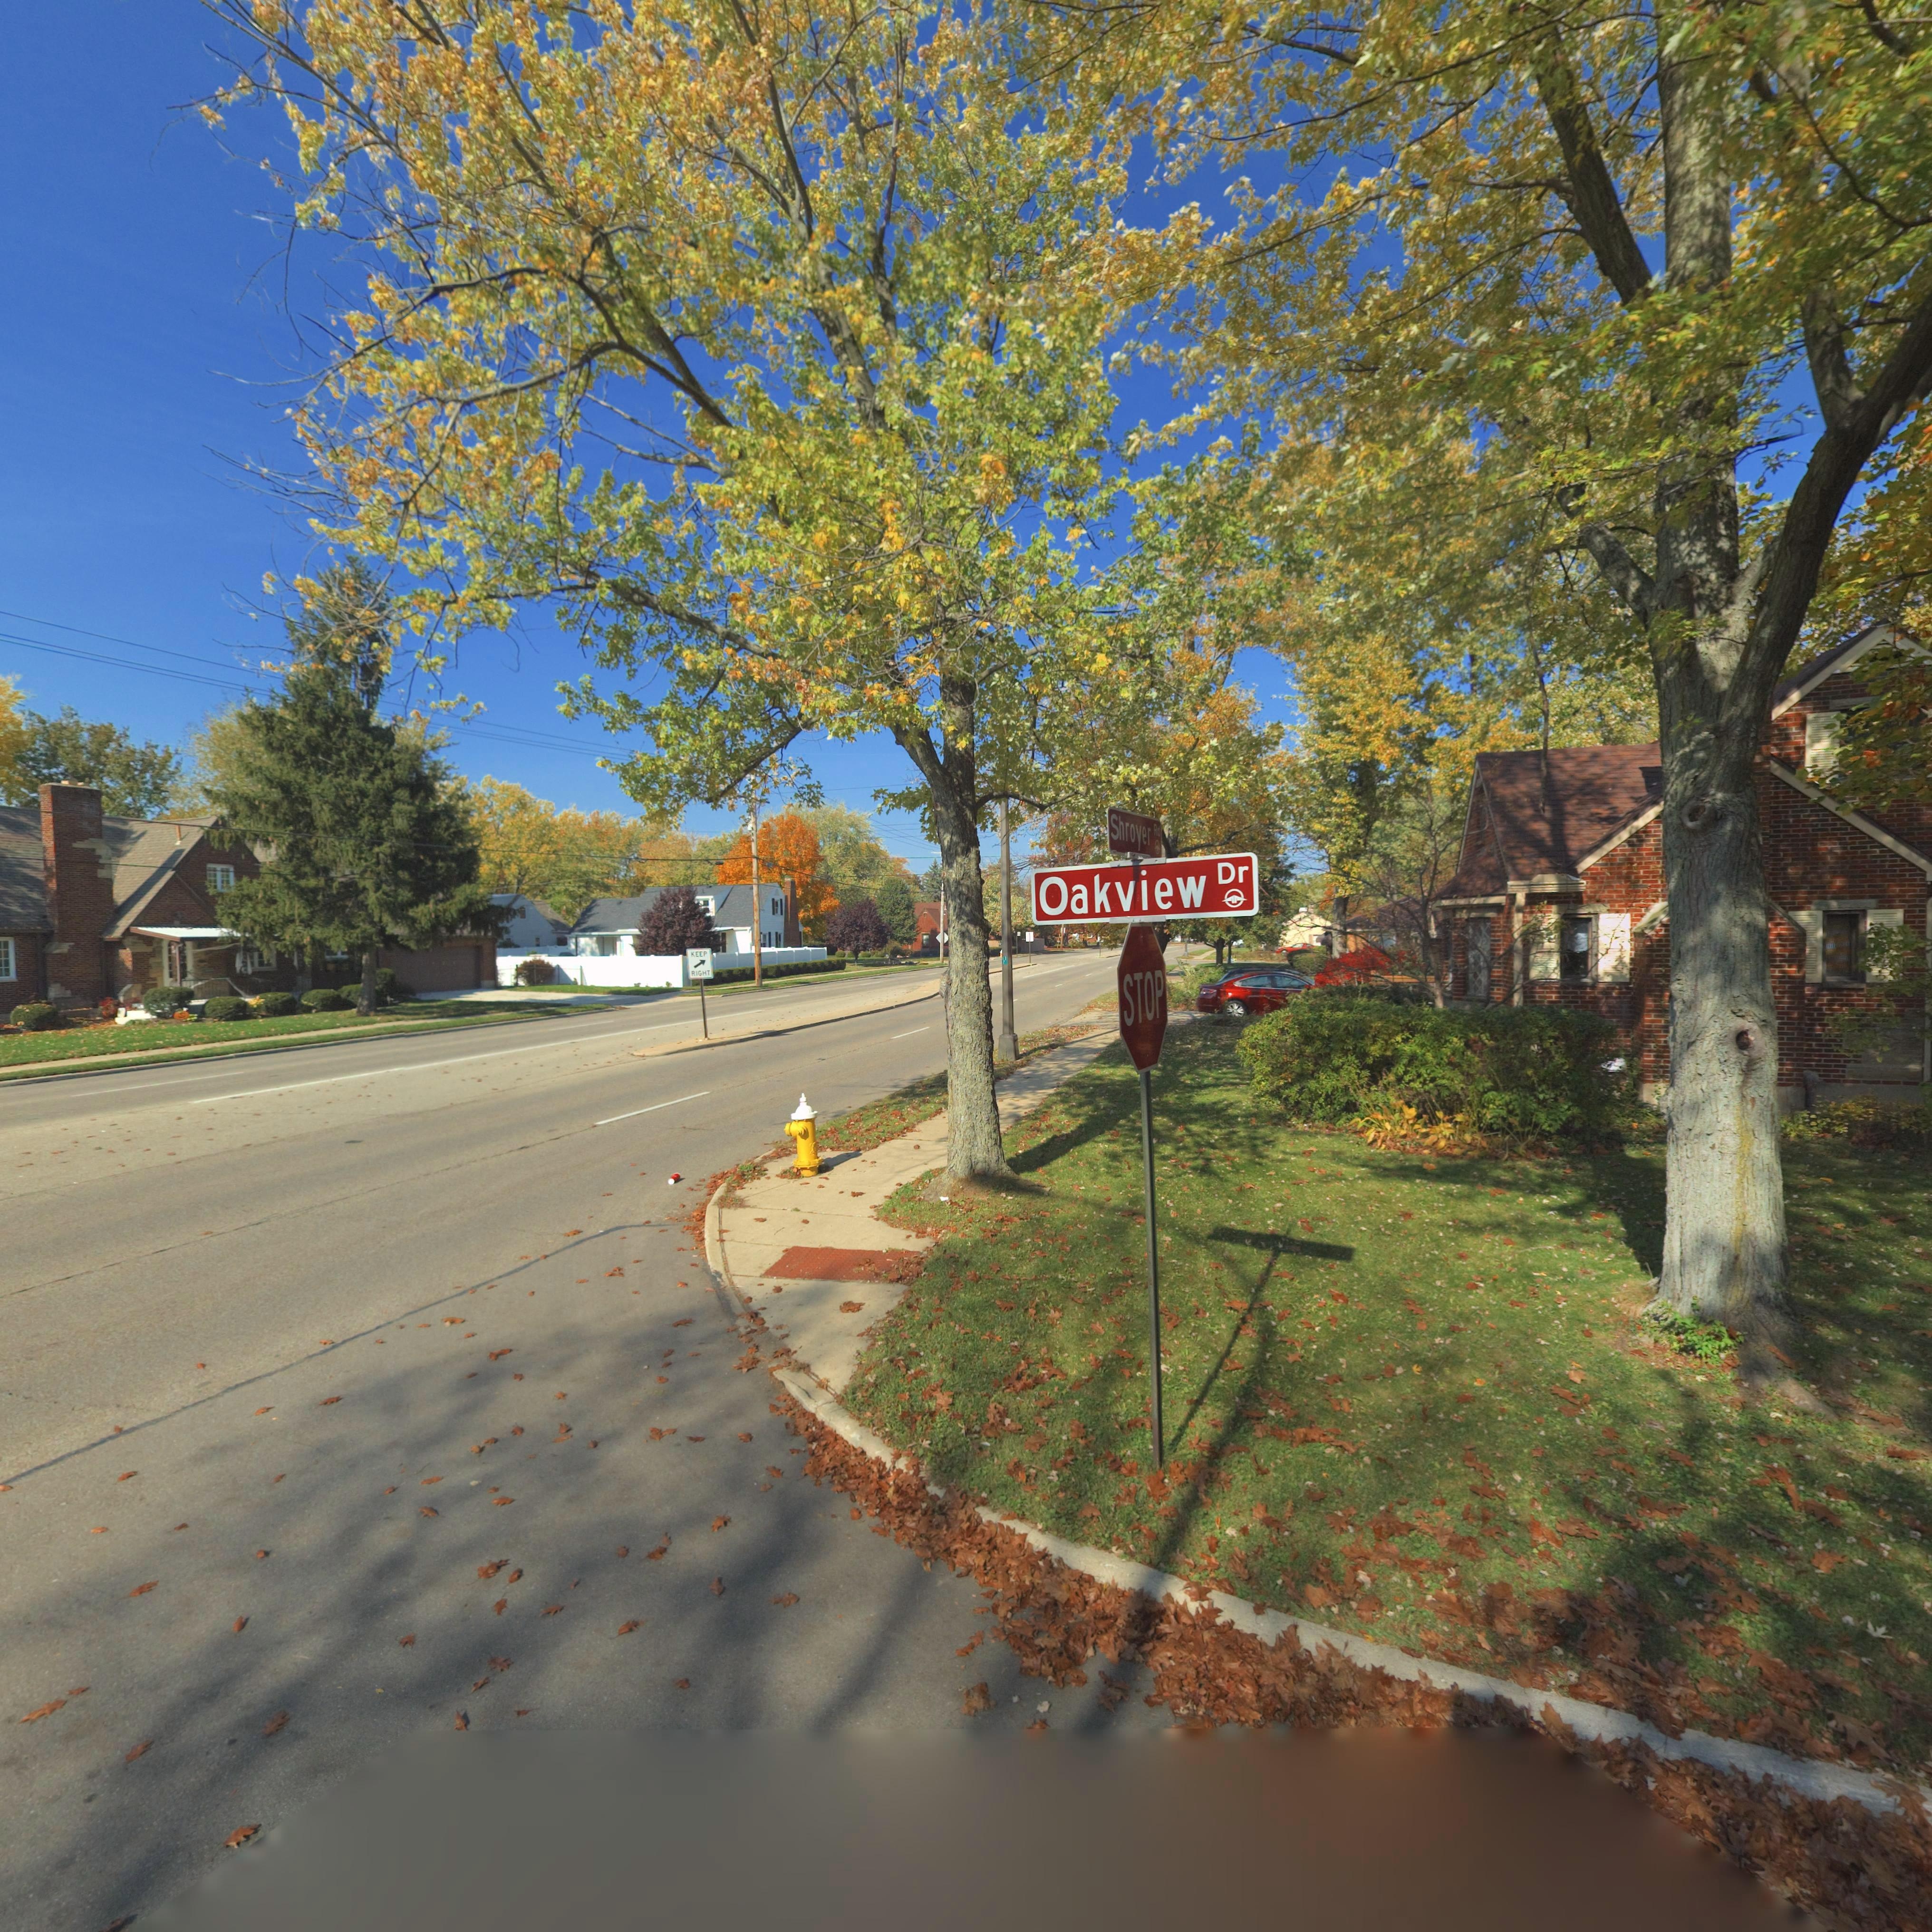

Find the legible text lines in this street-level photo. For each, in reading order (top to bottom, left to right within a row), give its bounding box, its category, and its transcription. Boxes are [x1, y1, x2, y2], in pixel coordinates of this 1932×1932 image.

[1110, 813, 1161, 852] StreetName: Shroyer Rd
[1039, 861, 1249, 916] StreetName: Oakview Dr
[690, 951, 708, 957] None: KEEP
[691, 970, 711, 976] None: RIGHT
[1123, 969, 1164, 1027] None: STOP